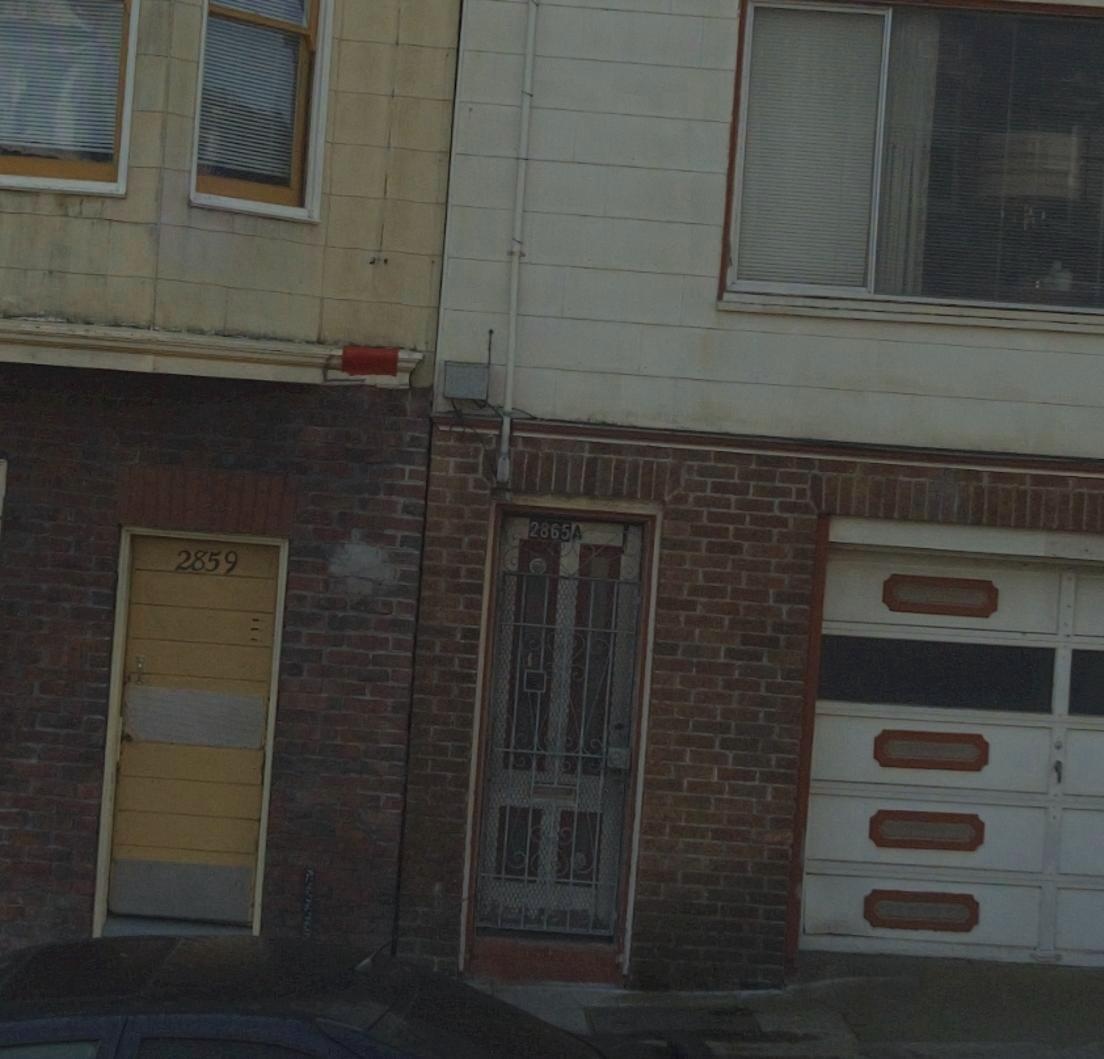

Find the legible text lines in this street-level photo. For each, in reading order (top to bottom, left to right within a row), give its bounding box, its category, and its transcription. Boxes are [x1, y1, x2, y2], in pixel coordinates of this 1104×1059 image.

[527, 520, 584, 542] StreetNumber: 2865 A
[172, 547, 240, 577] StreetNumber: 2859